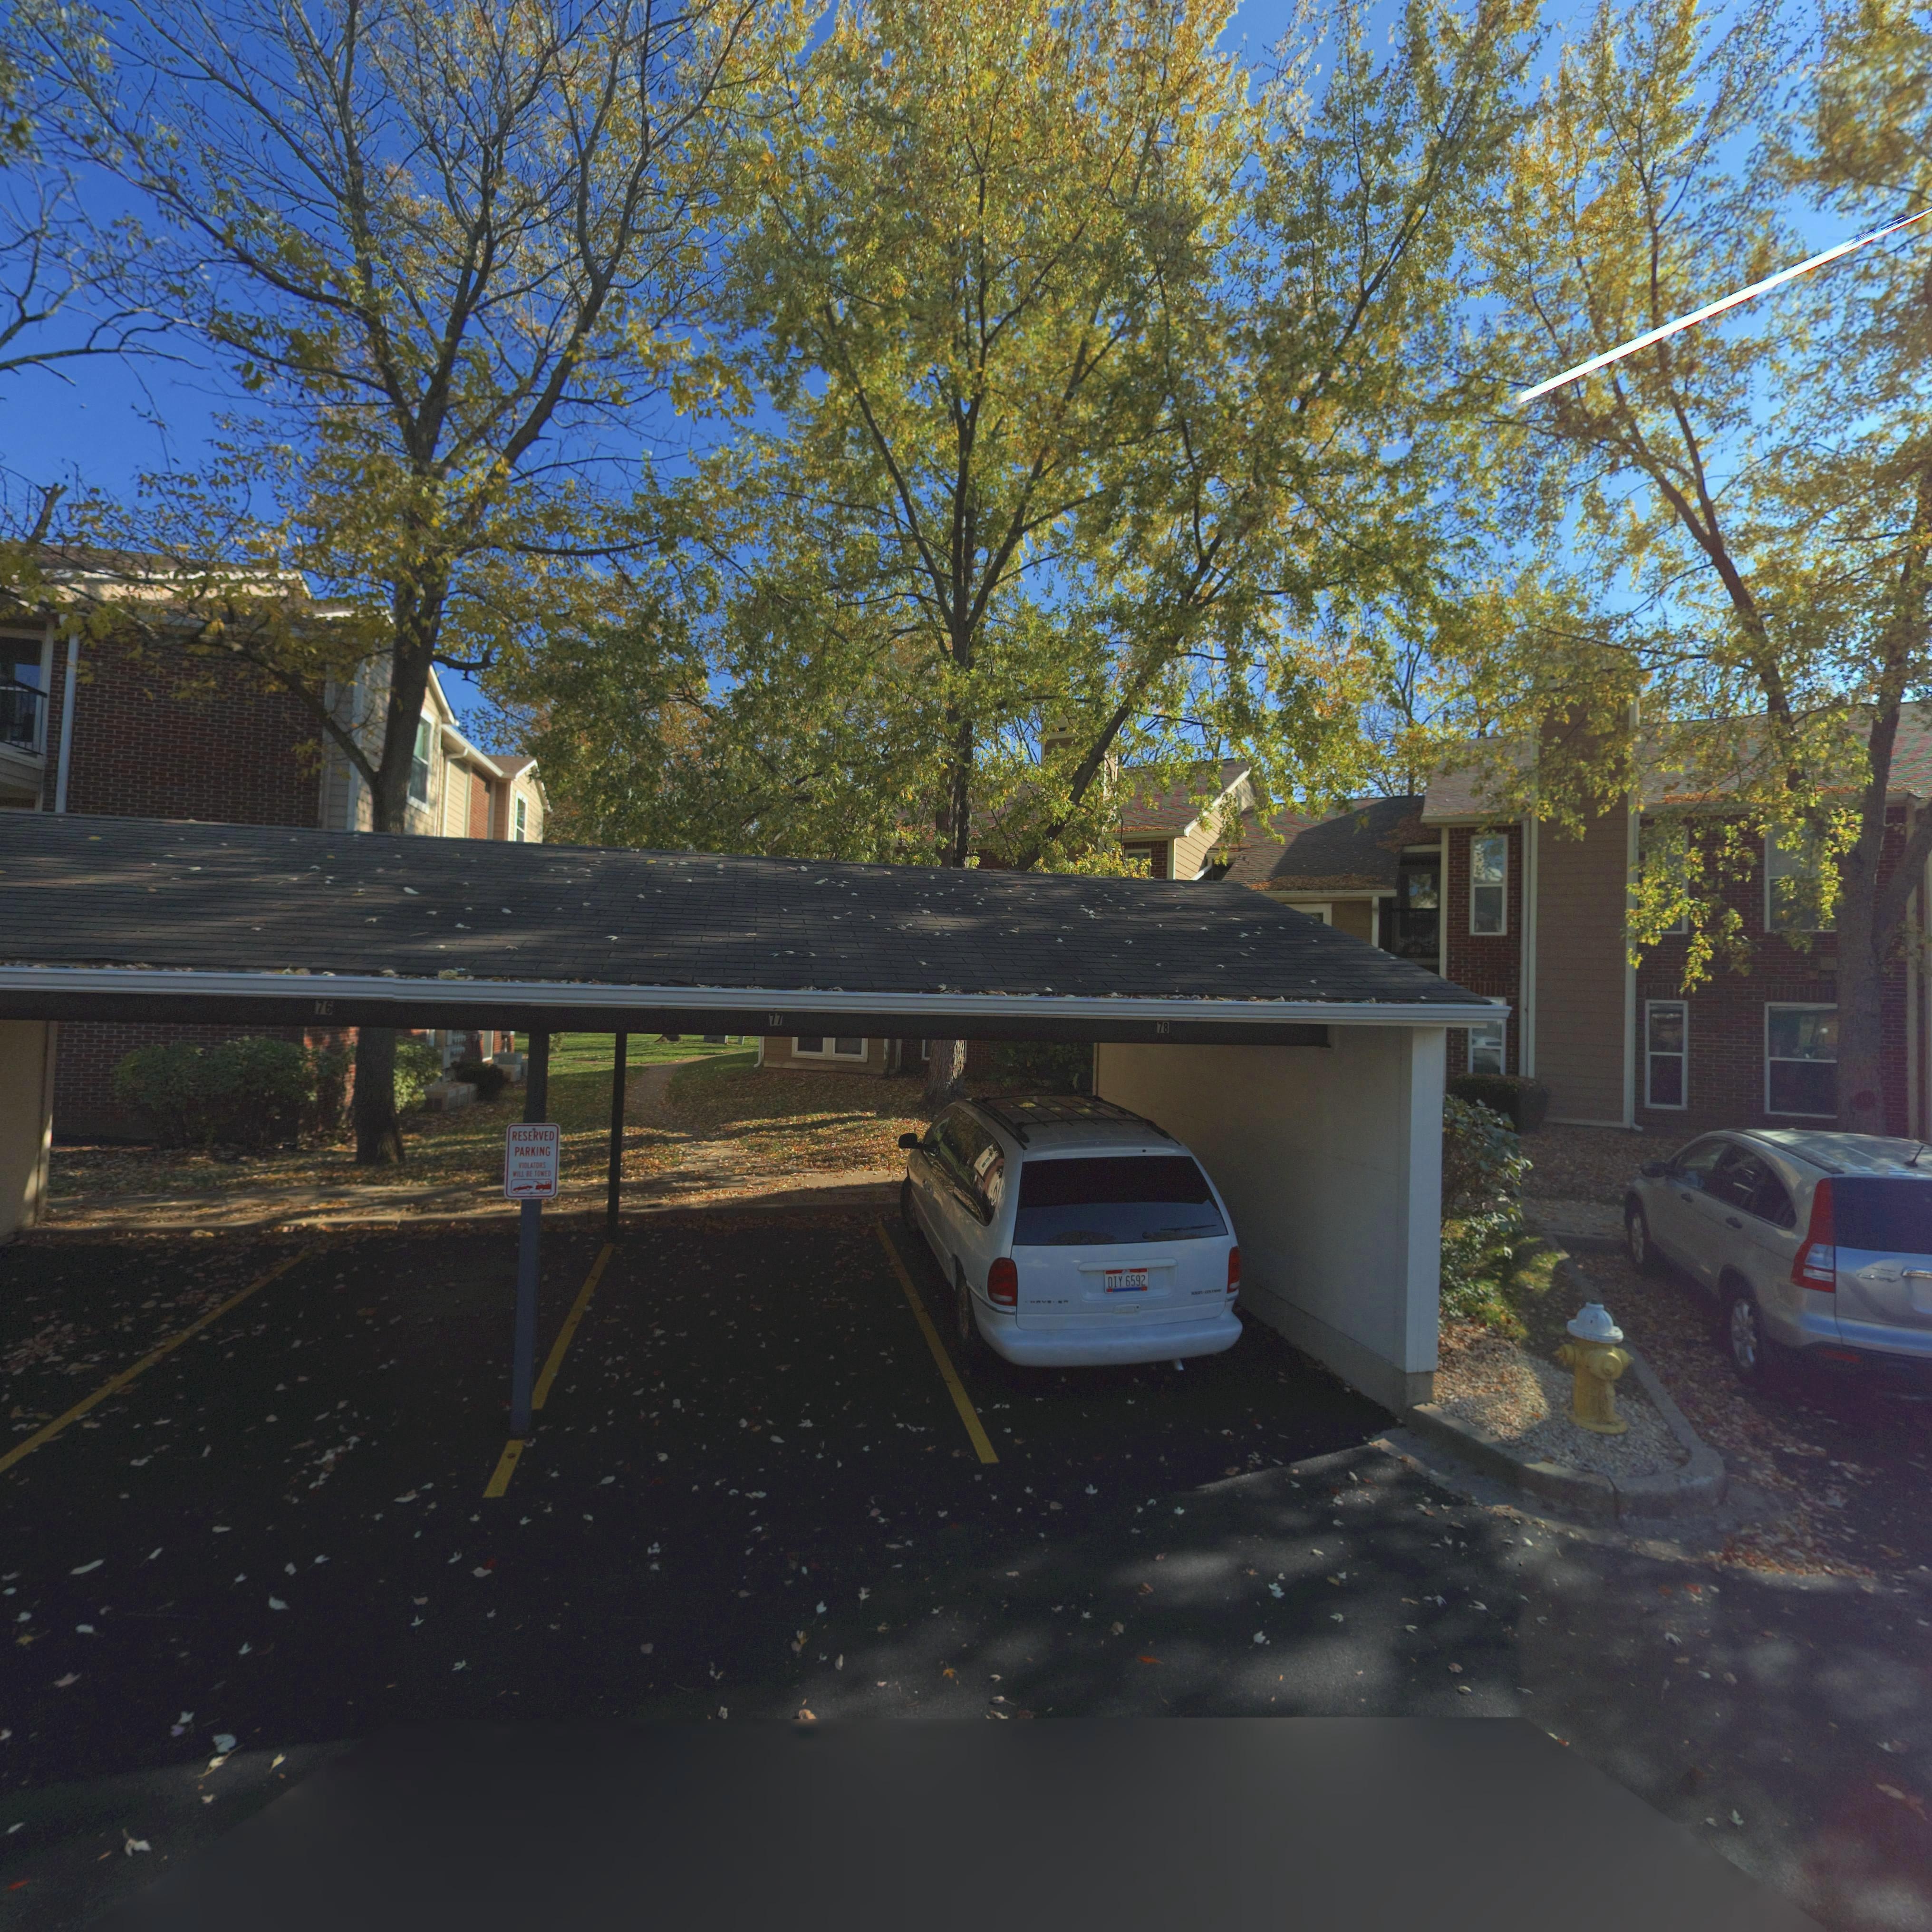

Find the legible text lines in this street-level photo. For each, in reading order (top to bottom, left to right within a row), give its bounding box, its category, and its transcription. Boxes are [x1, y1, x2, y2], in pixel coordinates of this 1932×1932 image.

[316, 1000, 333, 1015] StreetNumber: 76
[768, 1013, 784, 1026] StreetNumber: 77
[1157, 1021, 1170, 1034] StreetNumber: 78
[512, 1130, 555, 1142] None: RESERVED
[514, 1146, 551, 1157] None: PARKING
[517, 1160, 548, 1169] None: VIOLATORS
[511, 1169, 553, 1179] None: *ILL BE TOWED
[1107, 1273, 1147, 1289] None: DIY 6592